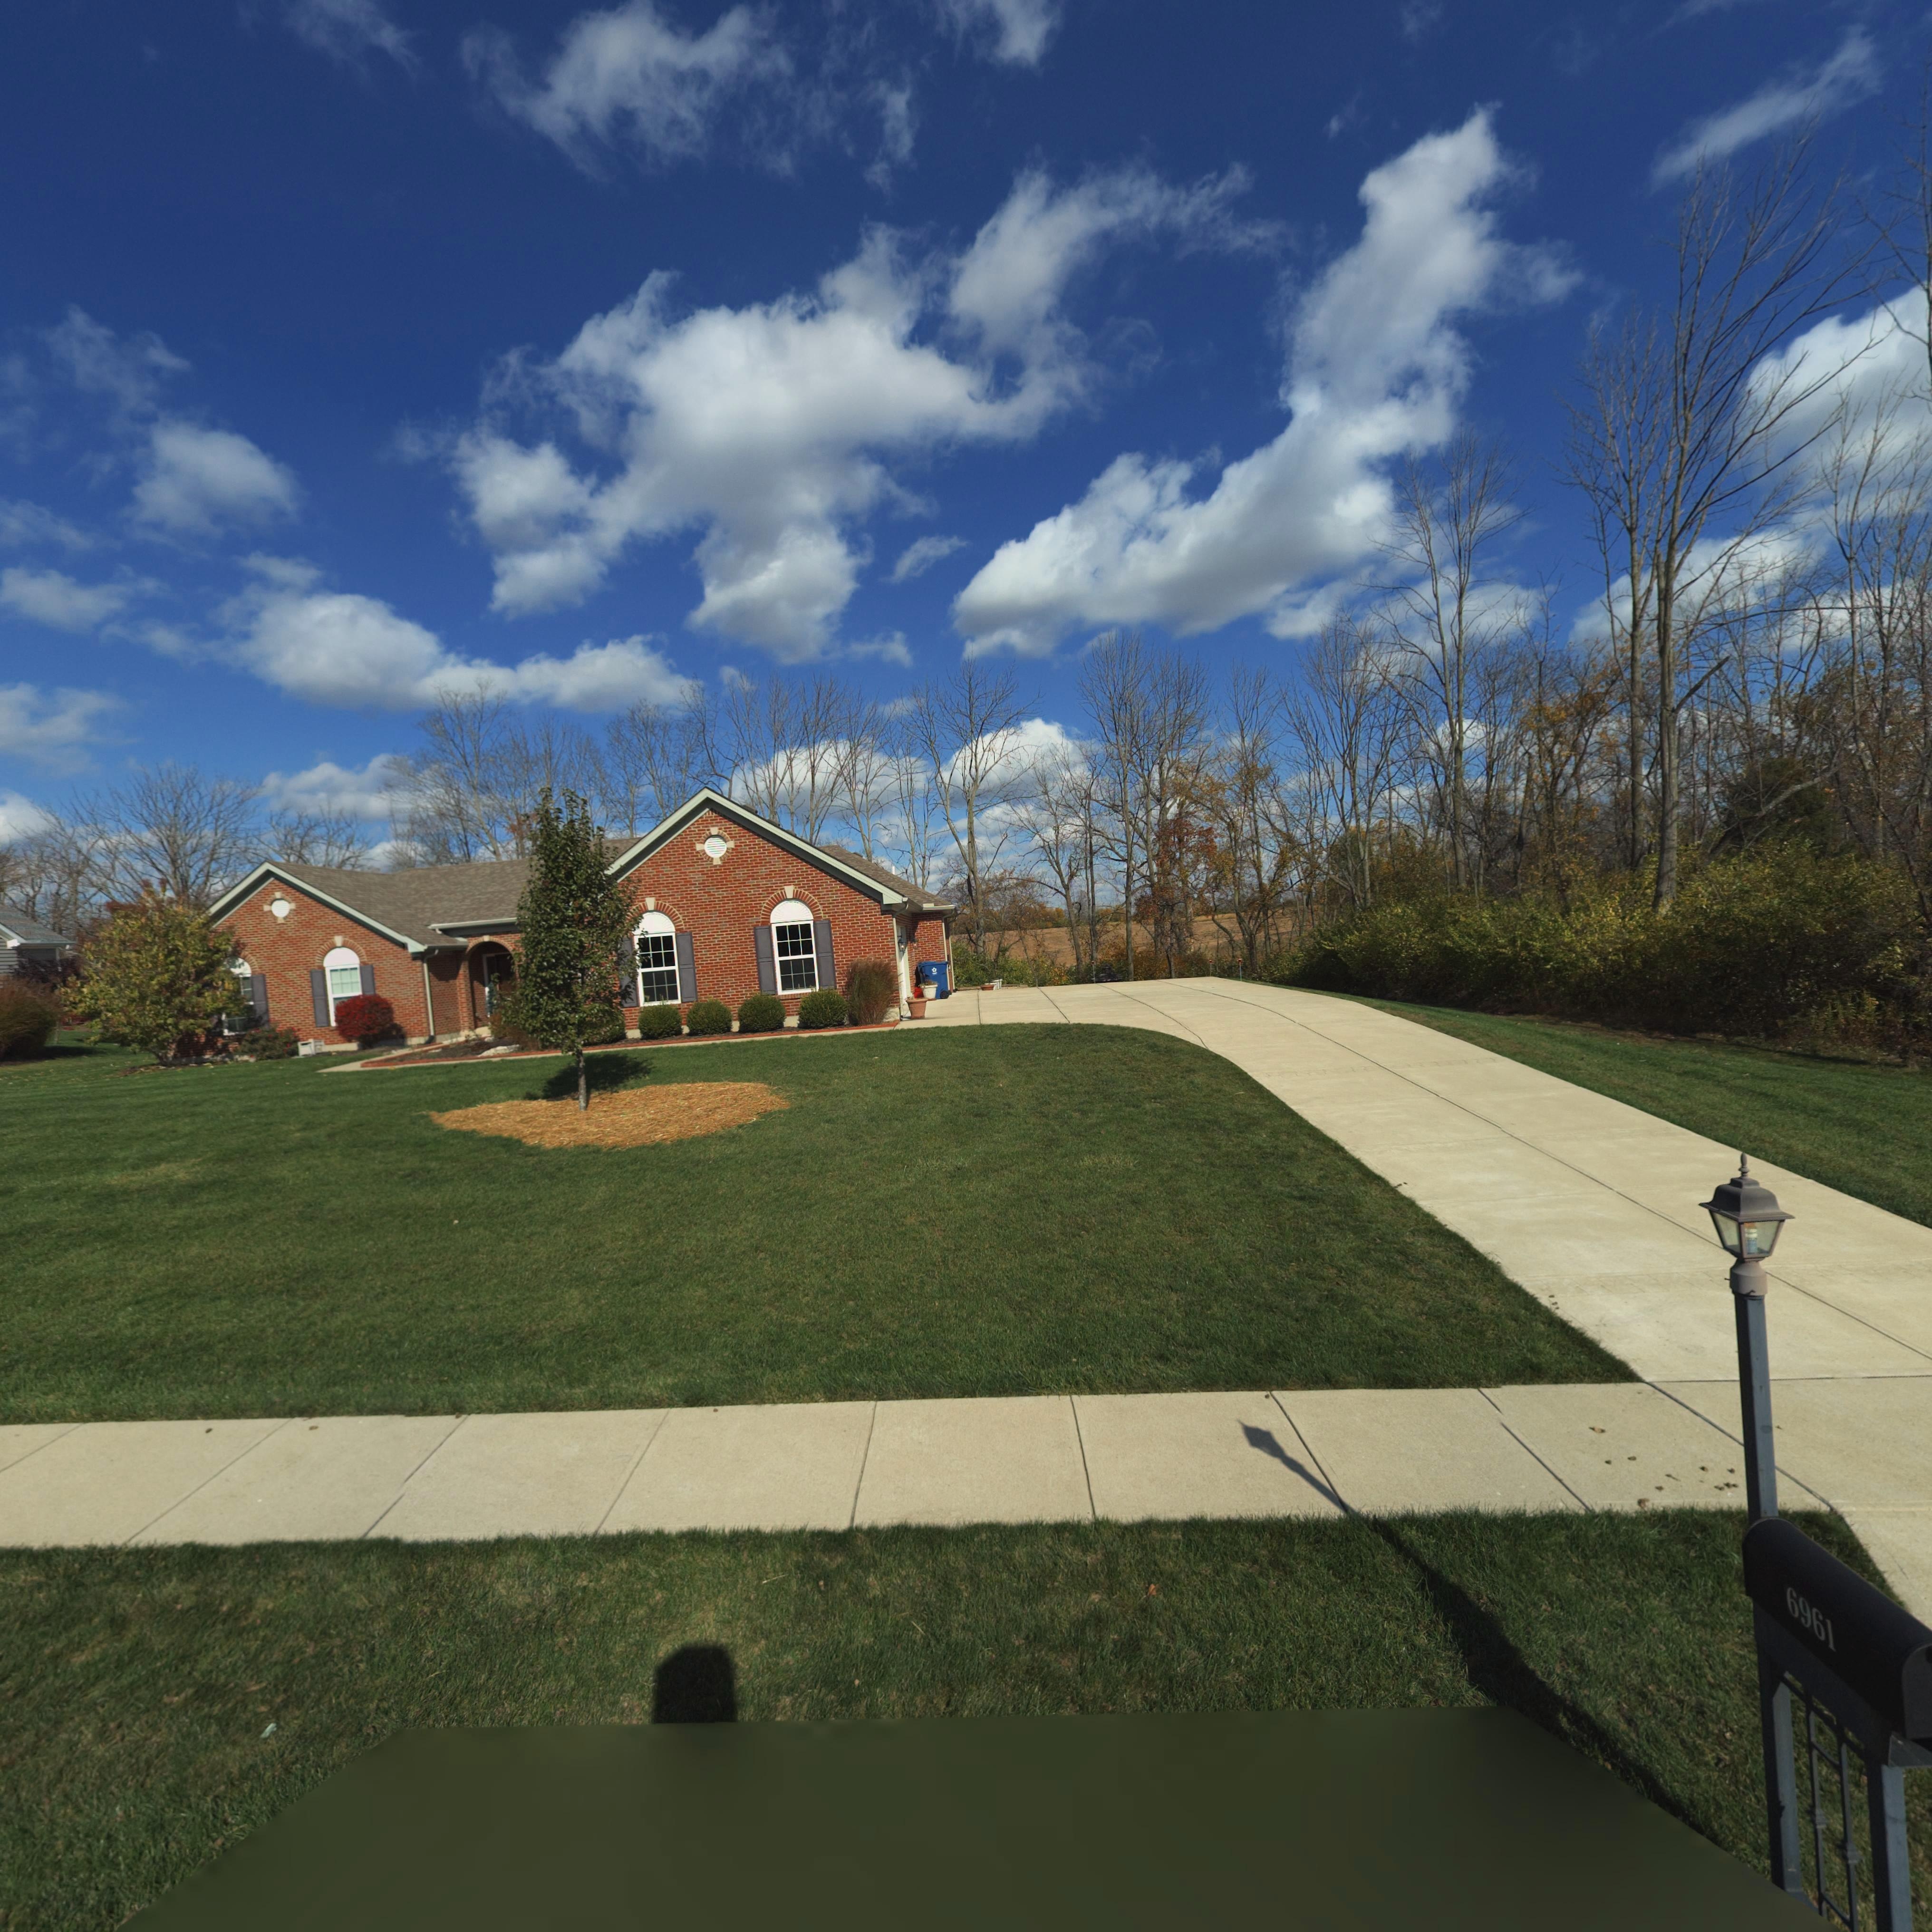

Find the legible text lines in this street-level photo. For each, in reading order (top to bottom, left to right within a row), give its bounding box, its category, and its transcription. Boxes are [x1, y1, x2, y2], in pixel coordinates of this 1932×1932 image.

[1785, 1585, 1837, 1653] StreetNumber: 6961